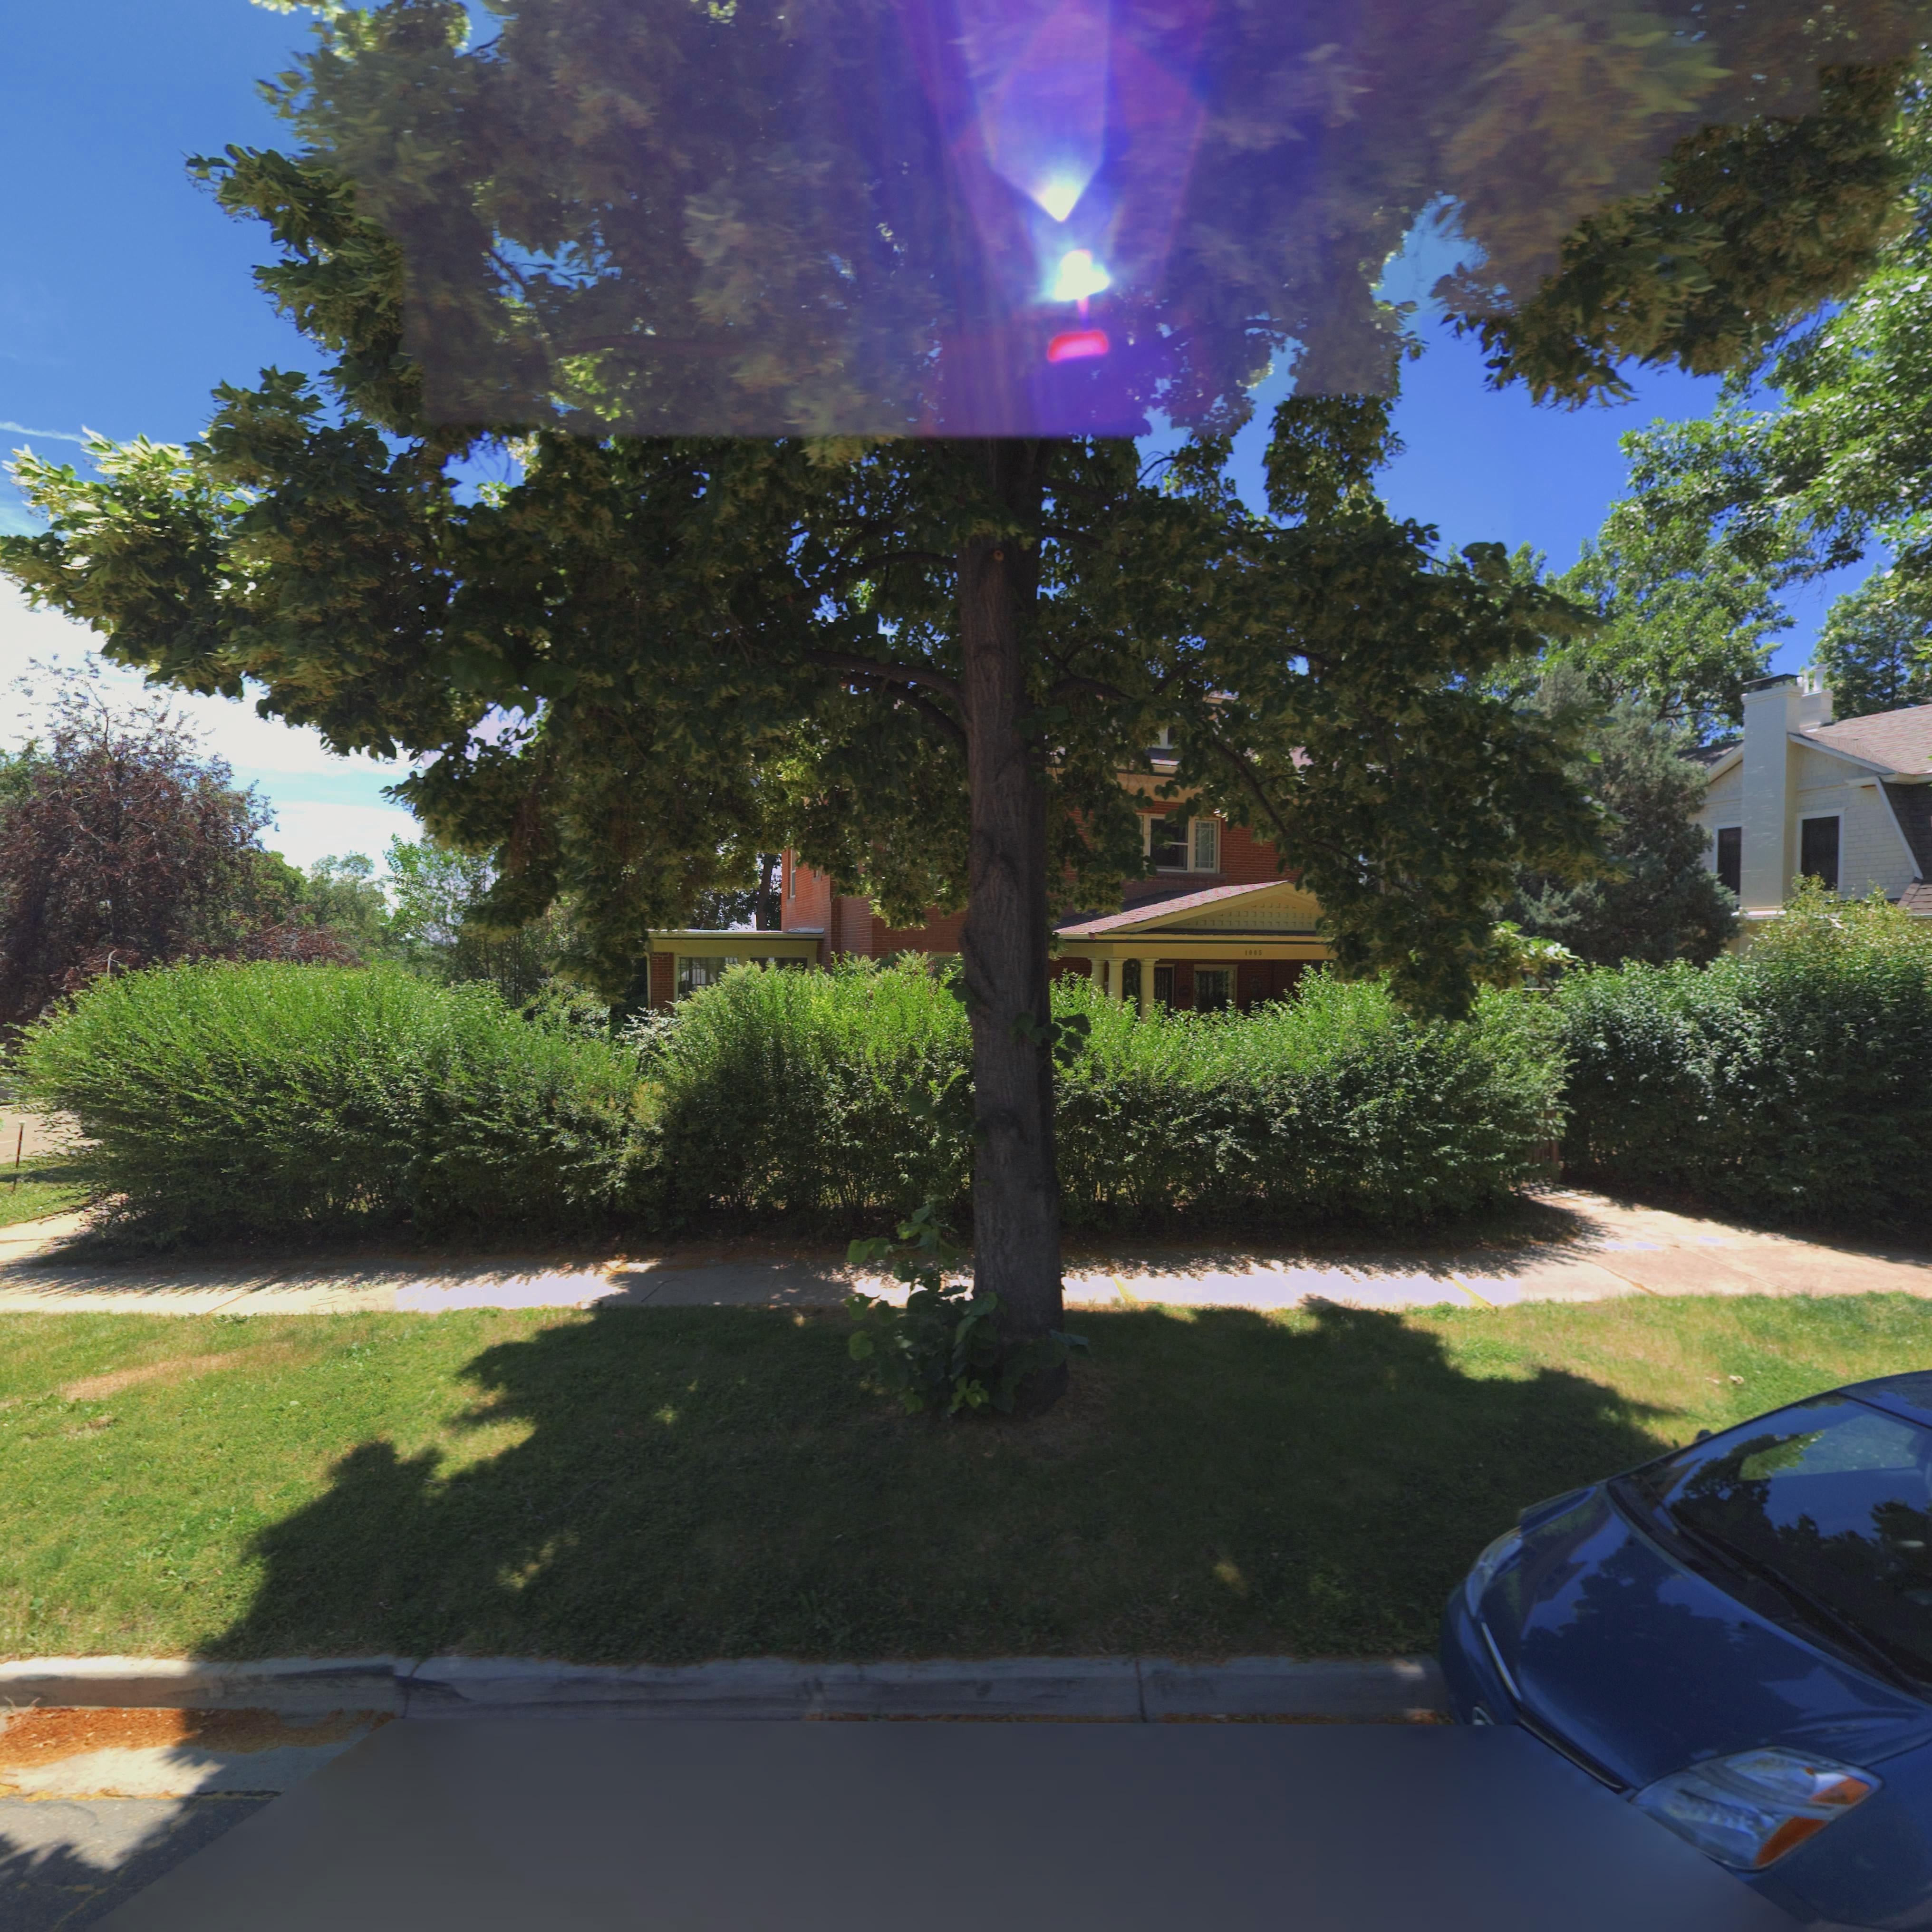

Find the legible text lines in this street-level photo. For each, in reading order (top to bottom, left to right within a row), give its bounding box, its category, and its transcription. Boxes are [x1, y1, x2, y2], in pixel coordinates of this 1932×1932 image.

[1244, 949, 1263, 956] StreetNumber: 1005